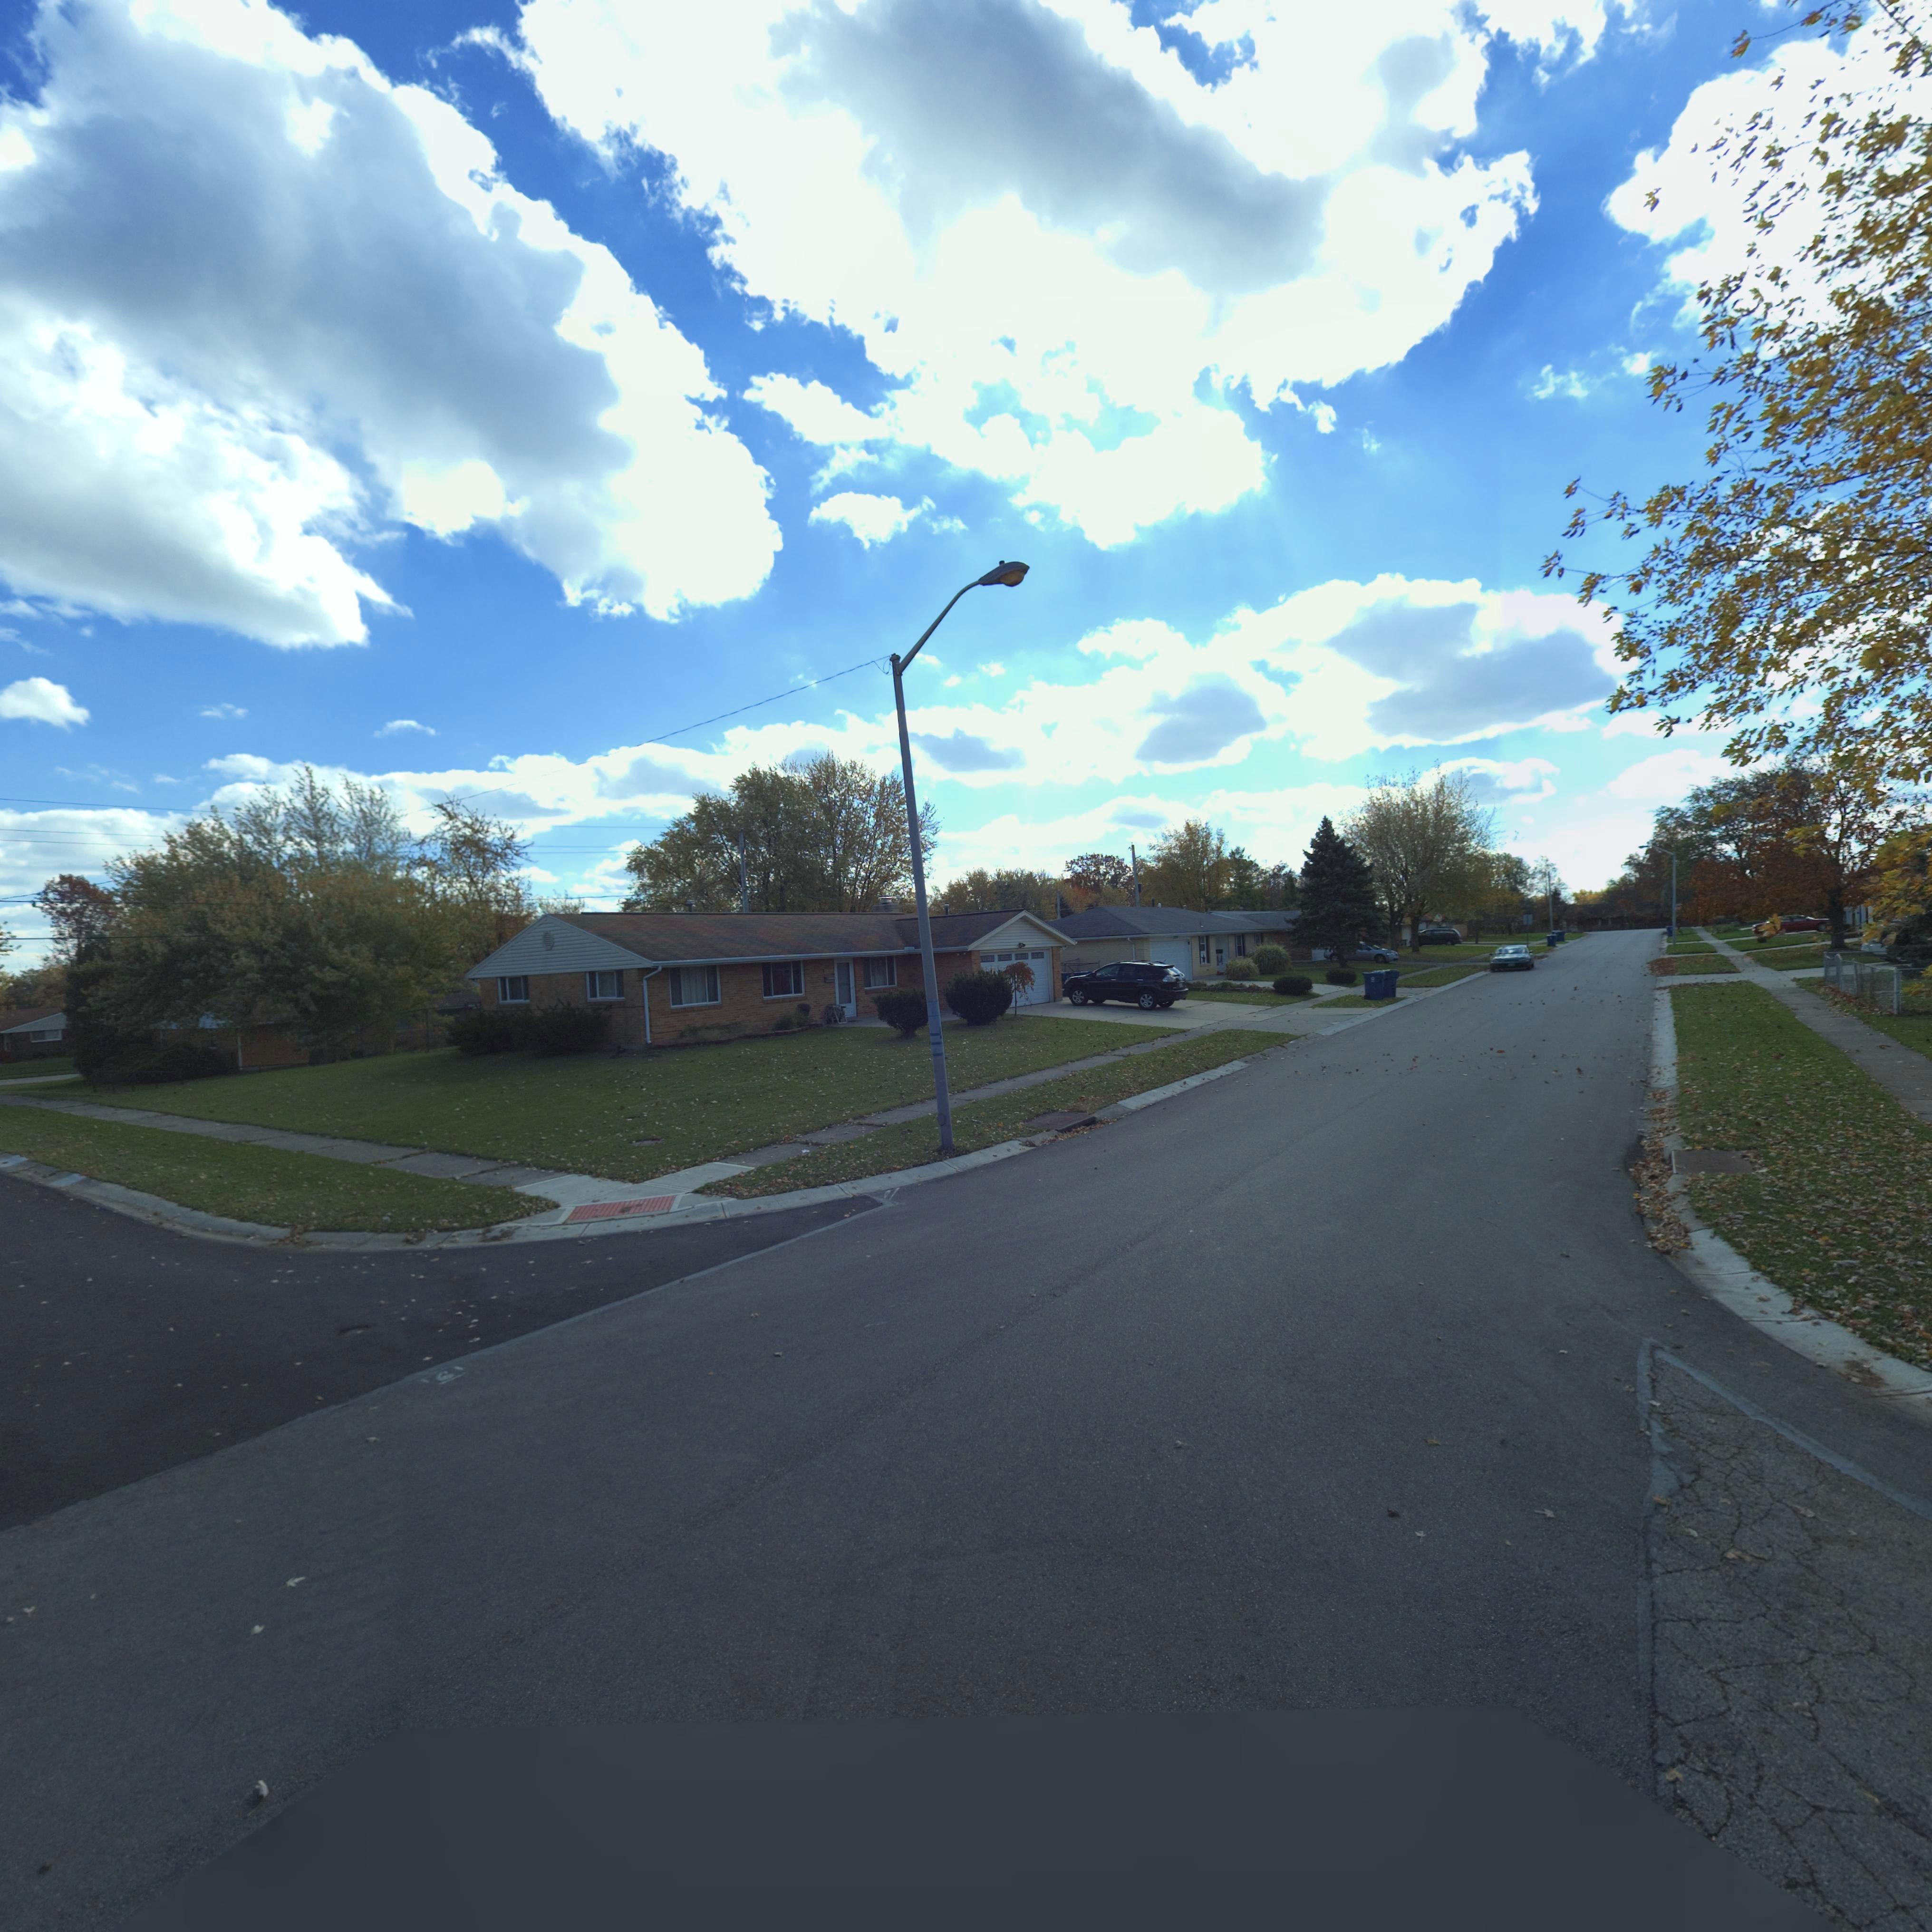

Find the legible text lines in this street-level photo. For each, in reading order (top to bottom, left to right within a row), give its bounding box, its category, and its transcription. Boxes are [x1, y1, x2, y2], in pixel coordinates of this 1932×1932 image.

[824, 969, 830, 974] StreetNumber: 7*